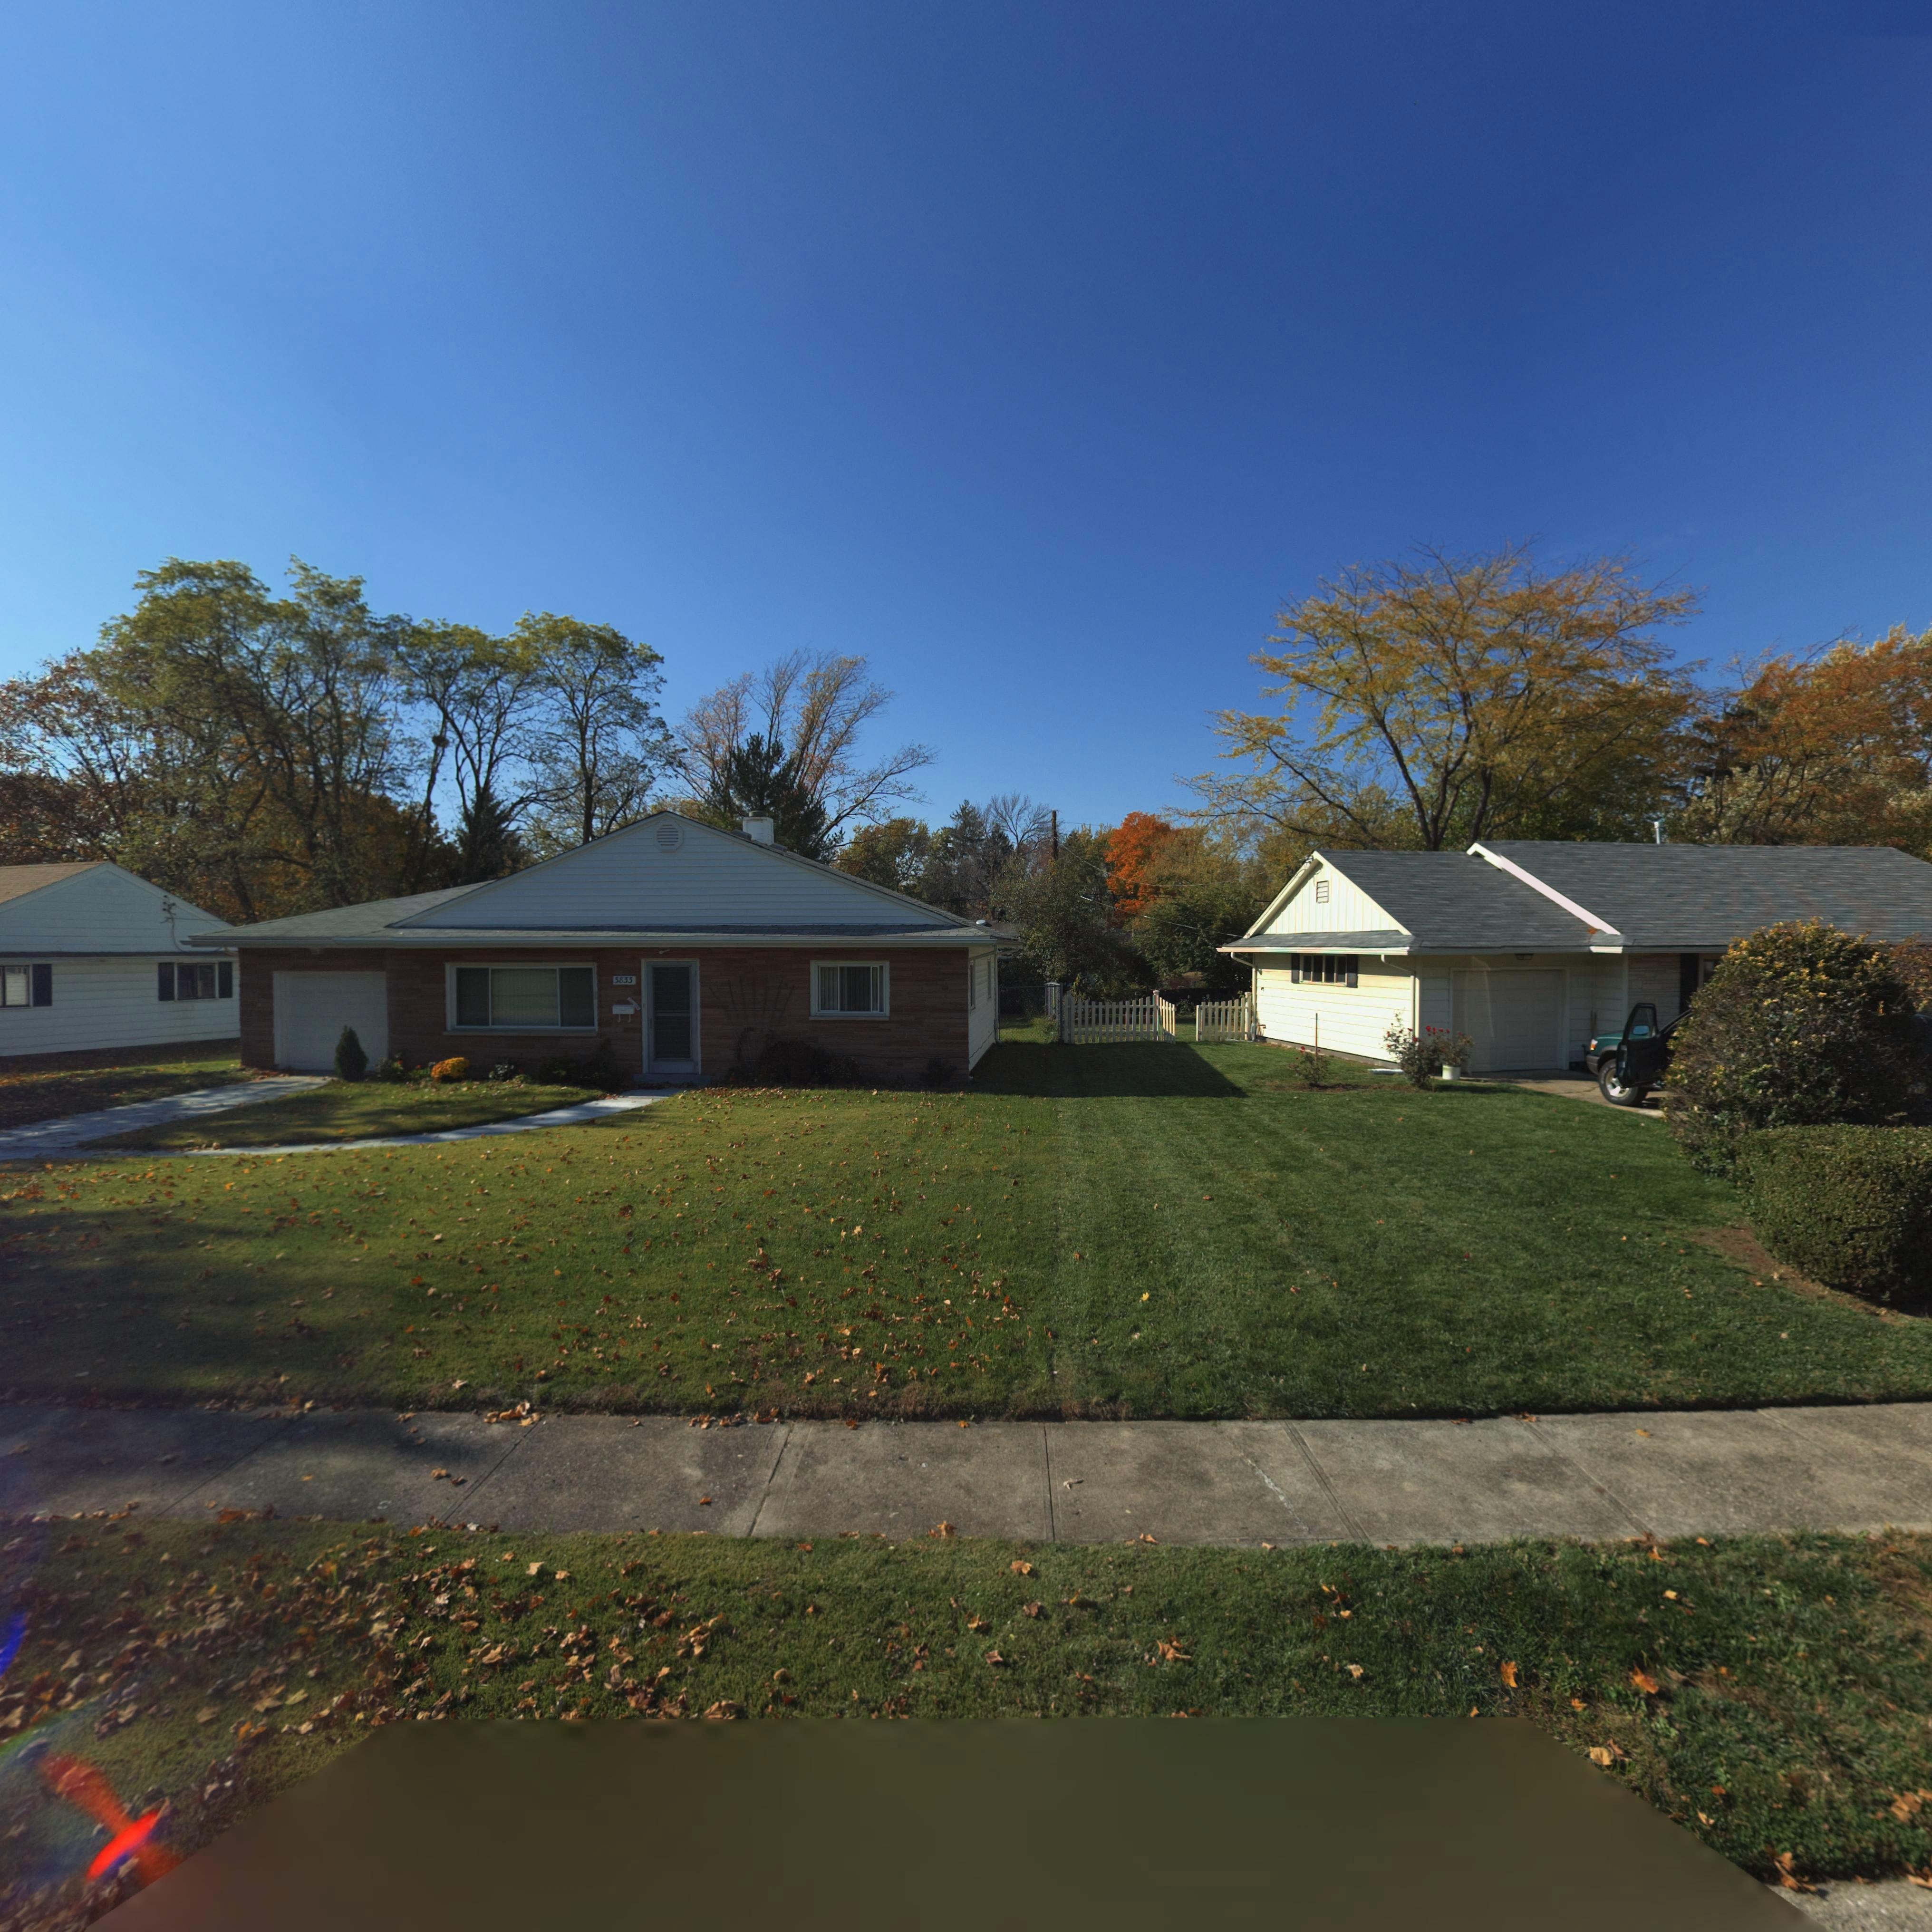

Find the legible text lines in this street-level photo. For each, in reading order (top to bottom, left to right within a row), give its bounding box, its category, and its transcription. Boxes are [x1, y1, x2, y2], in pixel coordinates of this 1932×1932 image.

[613, 976, 633, 984] StreetNumber: 3833